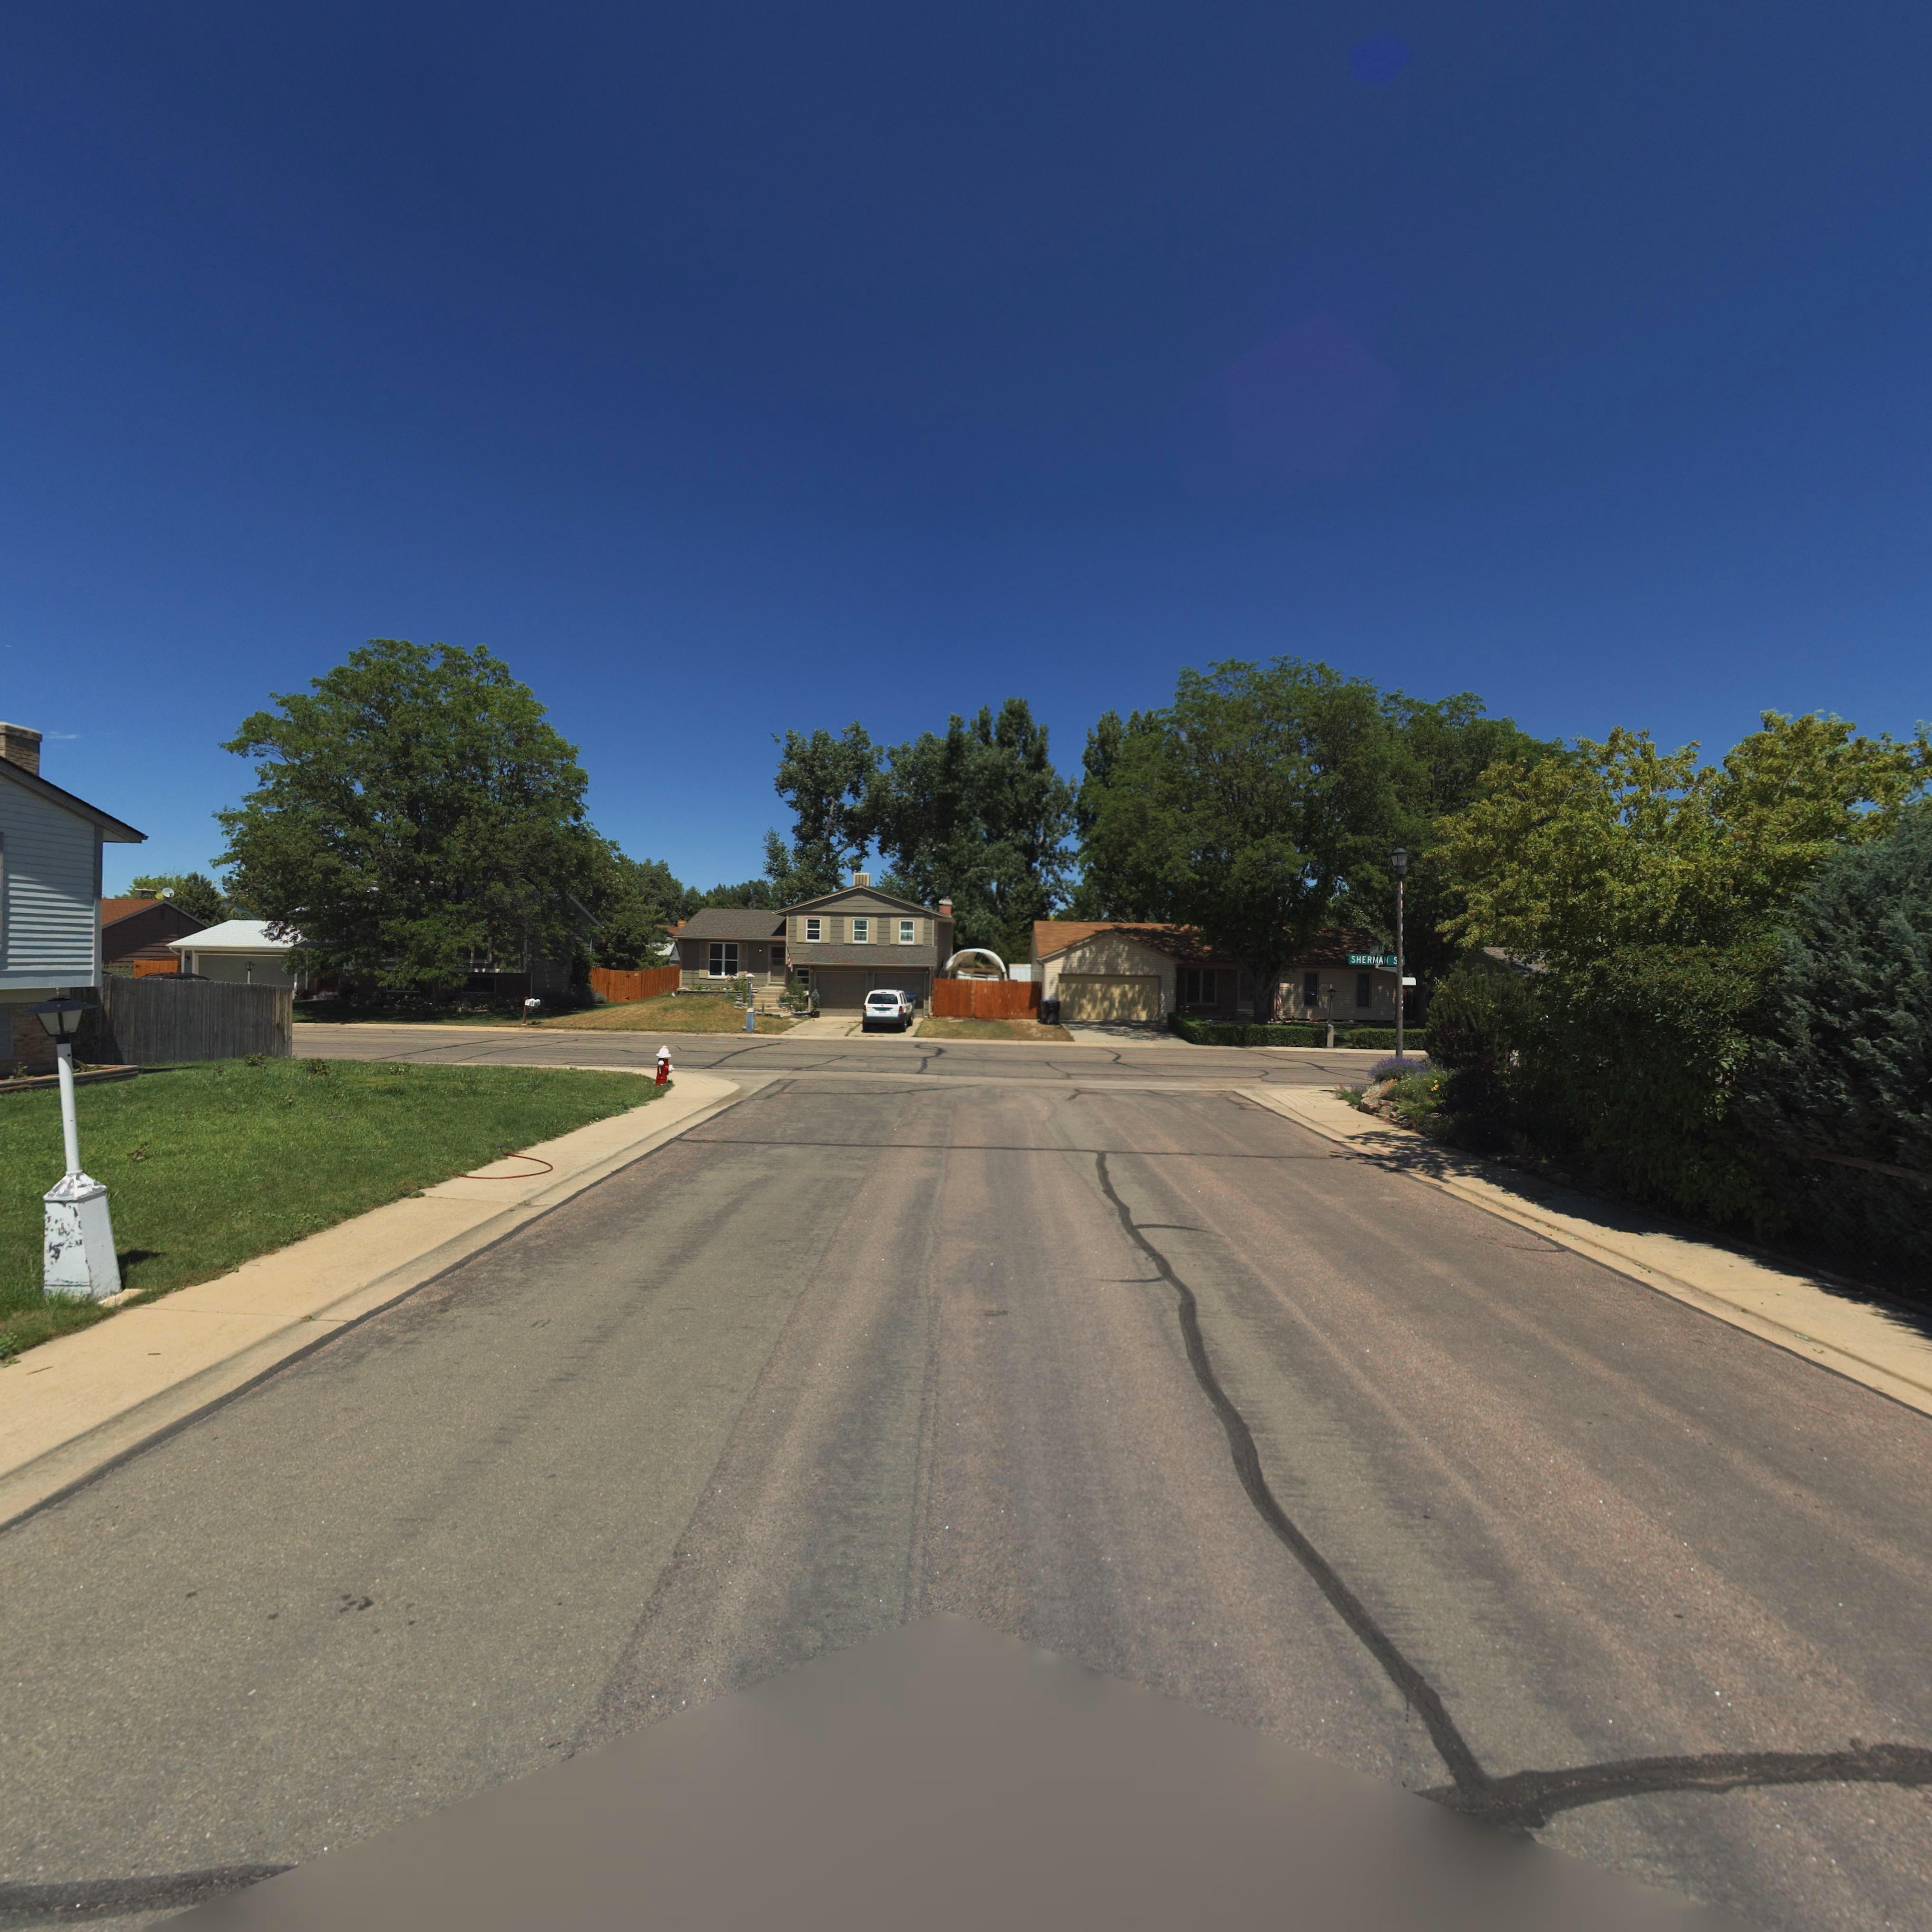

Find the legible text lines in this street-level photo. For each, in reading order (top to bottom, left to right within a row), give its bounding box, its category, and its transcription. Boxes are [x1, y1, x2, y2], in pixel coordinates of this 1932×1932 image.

[1370, 944, 1384, 953] StreetName: LO*** L*
[1351, 955, 1398, 965] StreetName: SHERMAN S